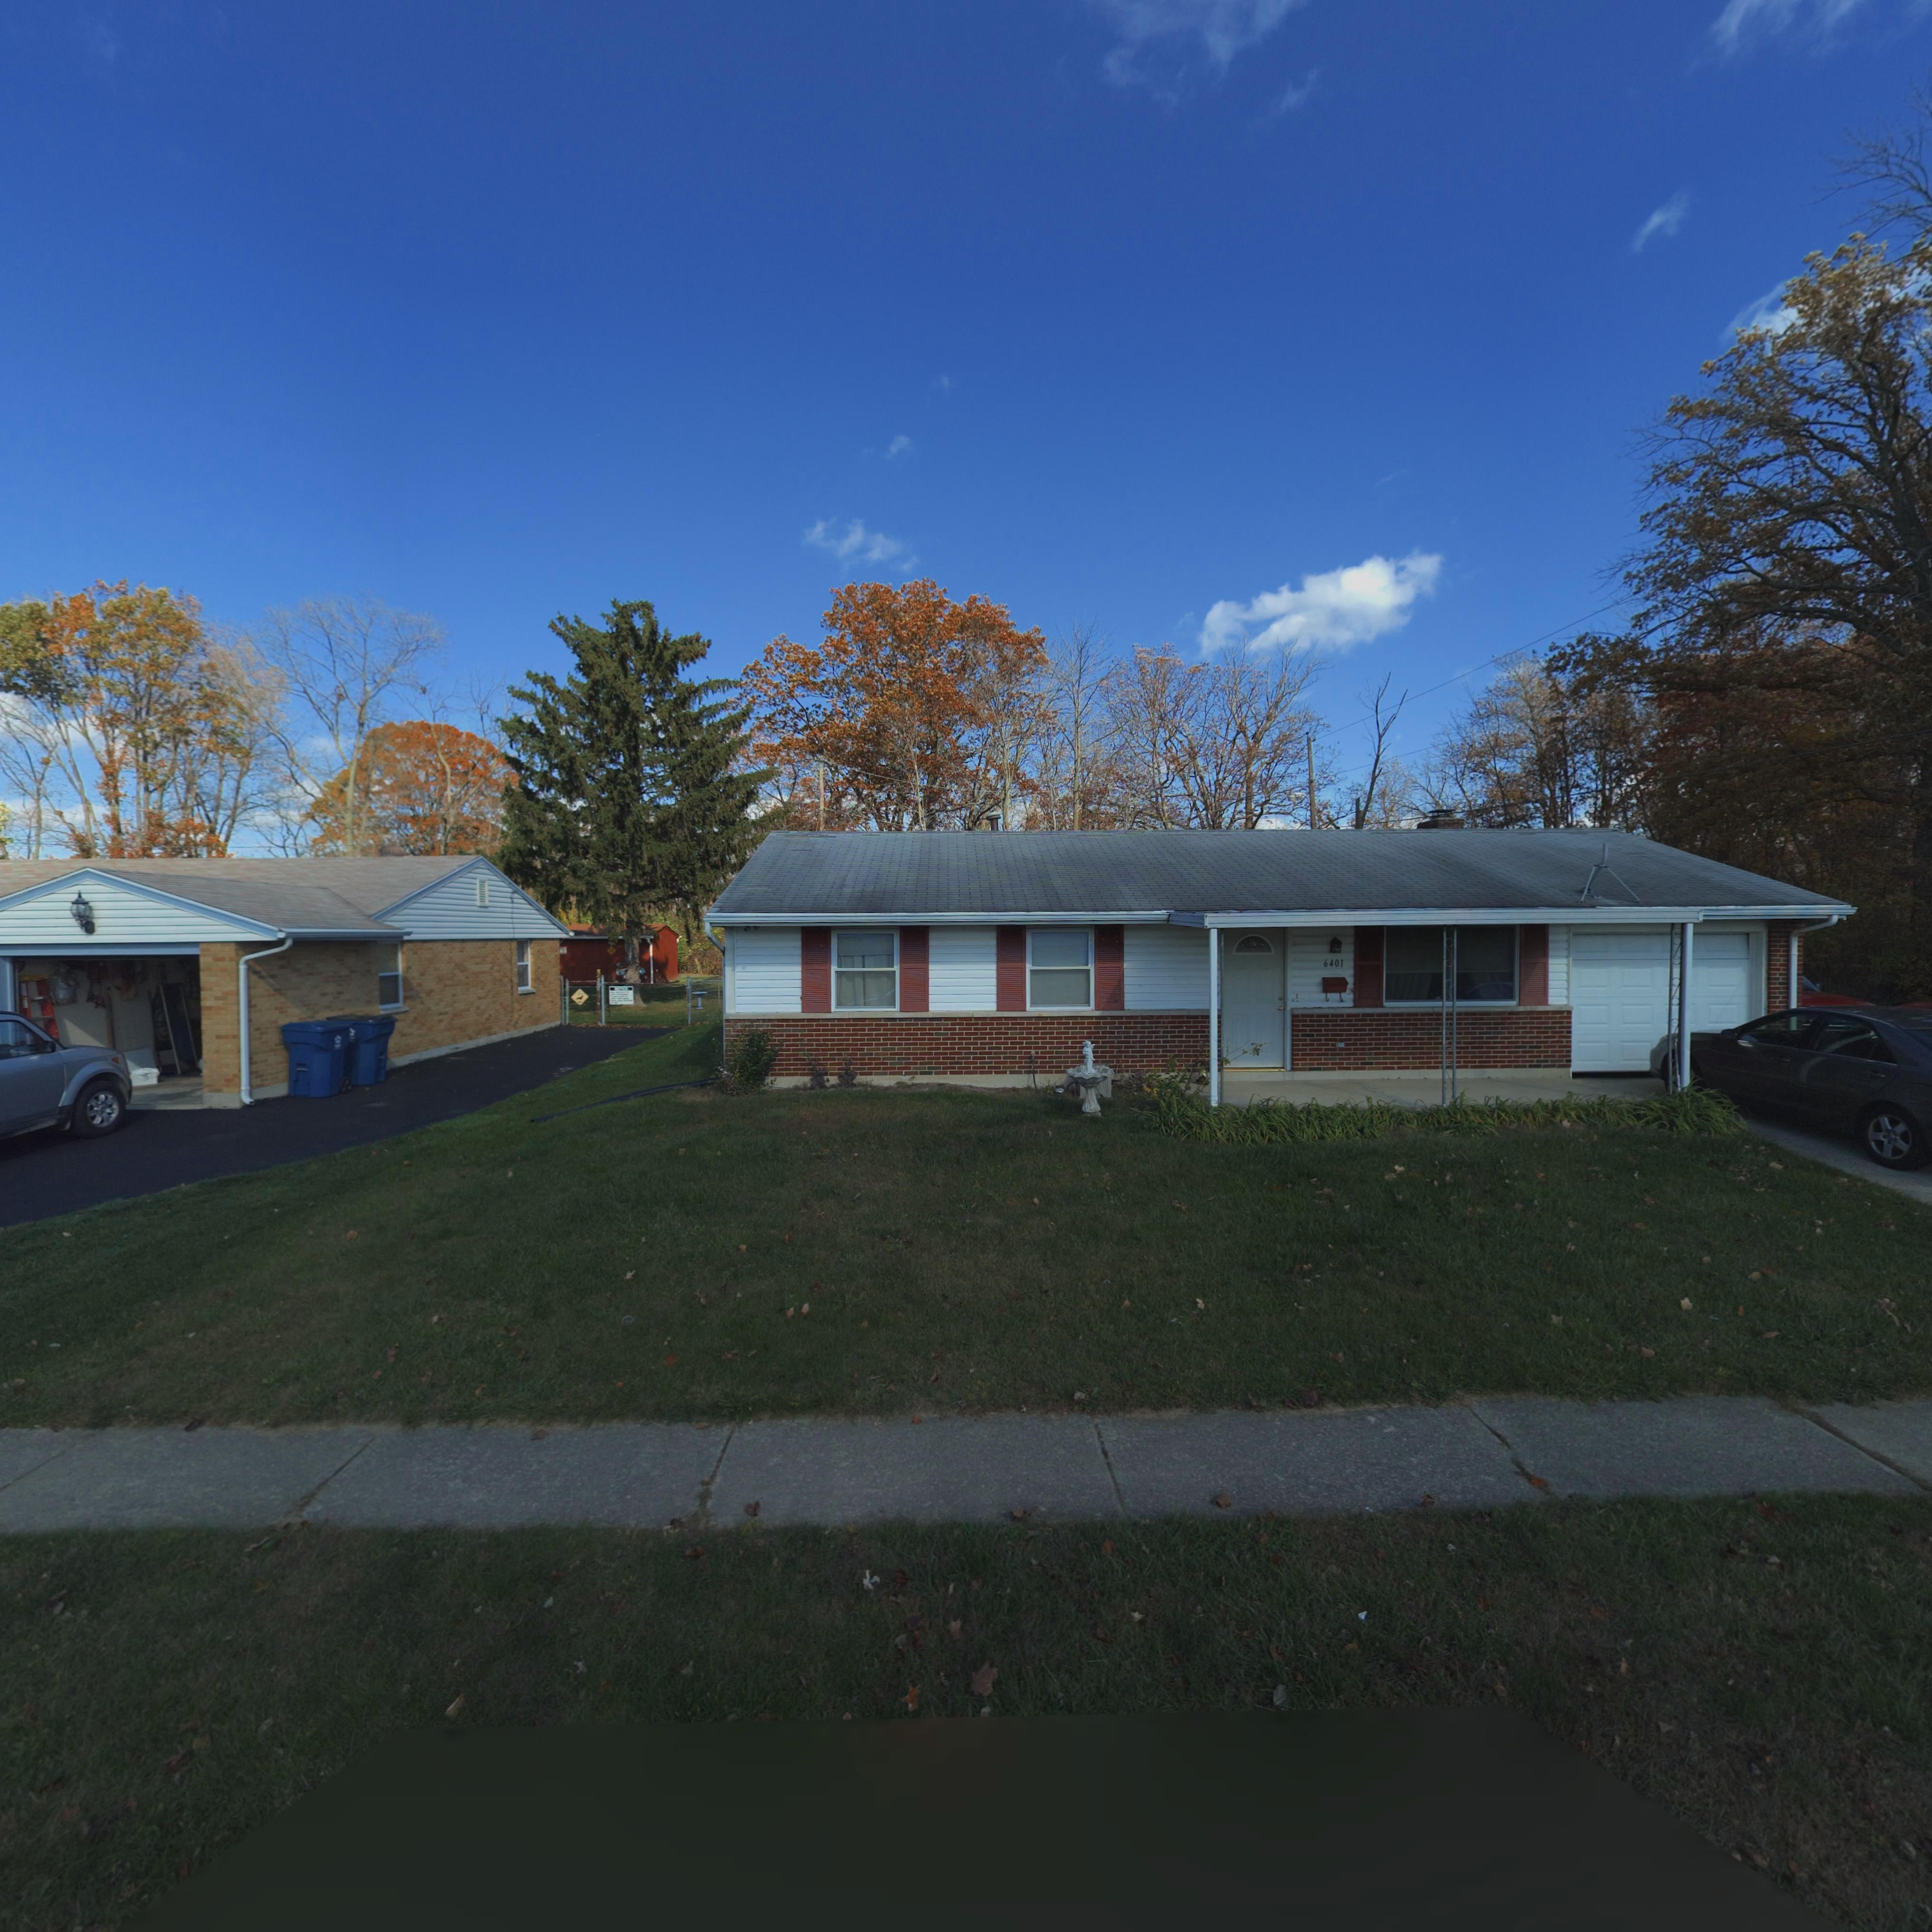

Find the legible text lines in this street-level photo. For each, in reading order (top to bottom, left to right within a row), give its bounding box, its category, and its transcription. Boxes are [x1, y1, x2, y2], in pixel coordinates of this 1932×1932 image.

[1323, 958, 1343, 968] StreetNumber: 6401